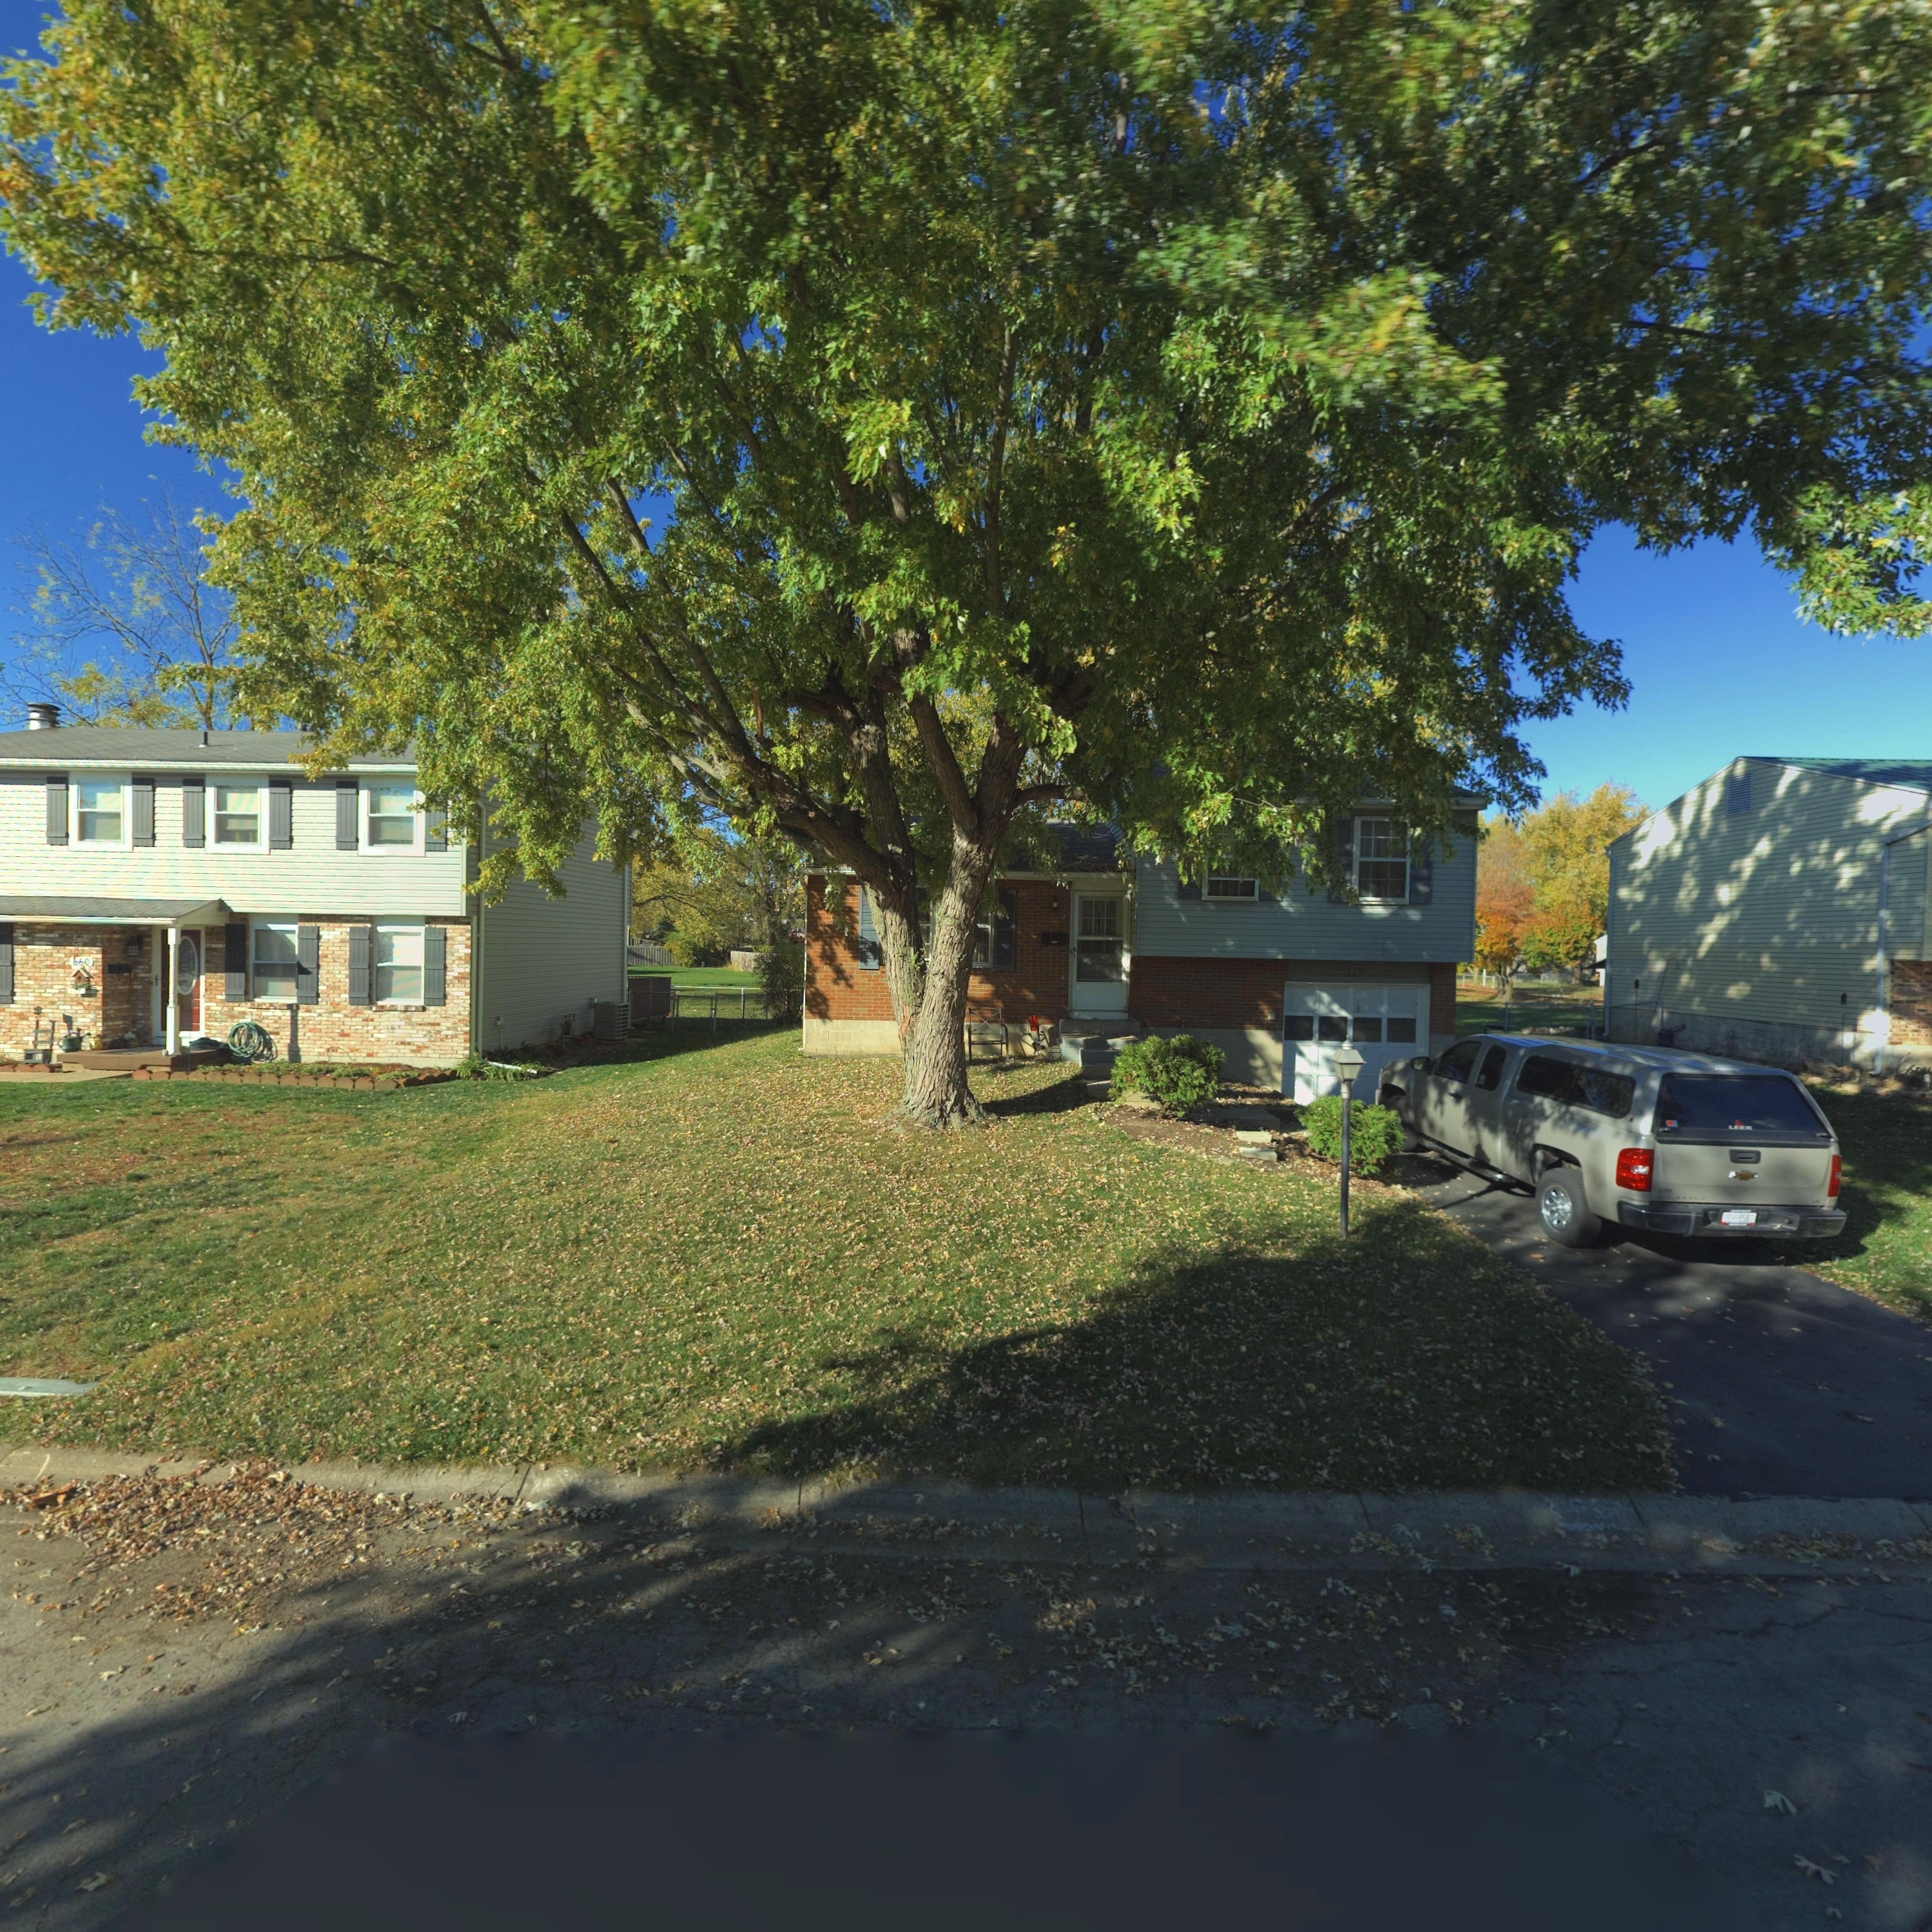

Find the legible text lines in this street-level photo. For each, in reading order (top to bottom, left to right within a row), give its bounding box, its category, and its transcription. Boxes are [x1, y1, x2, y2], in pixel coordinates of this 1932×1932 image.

[73, 957, 90, 966] StreetNumber: 660
[1346, 971, 1362, 978] StreetNumber: 662